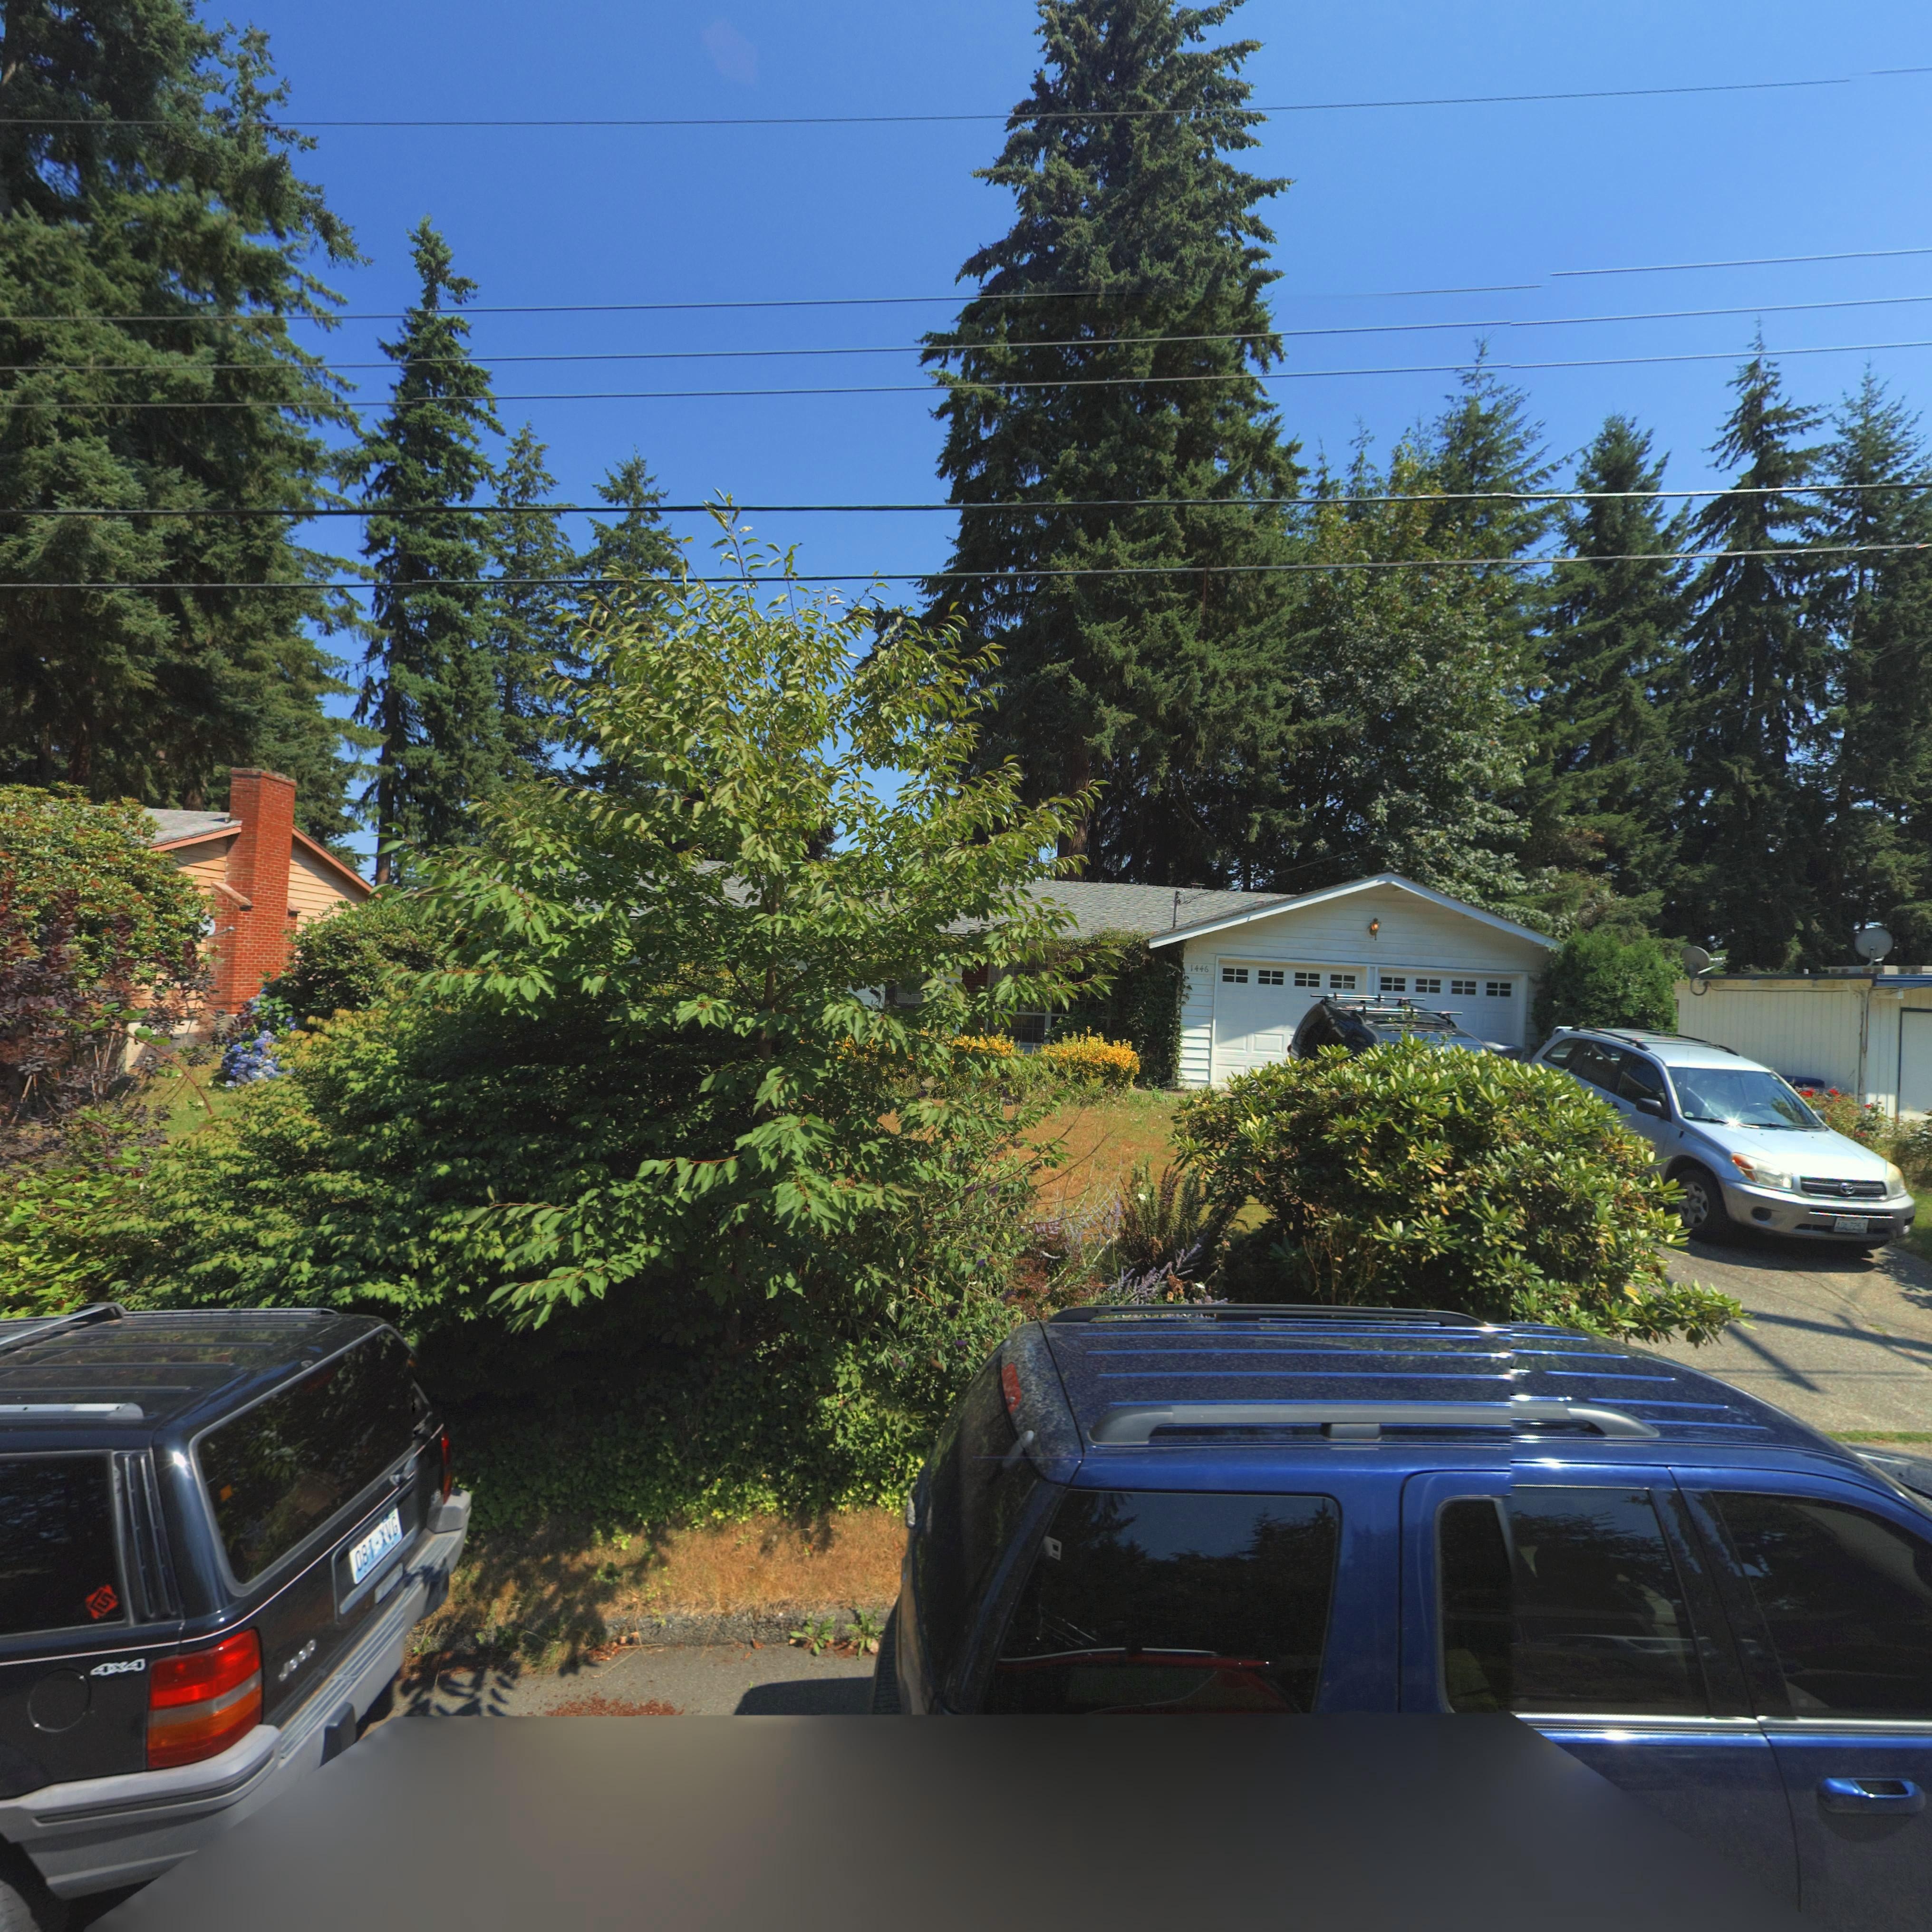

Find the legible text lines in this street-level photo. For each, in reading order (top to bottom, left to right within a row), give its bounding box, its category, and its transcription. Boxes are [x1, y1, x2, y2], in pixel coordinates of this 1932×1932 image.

[1190, 964, 1208, 973] StreetNumber: 1446